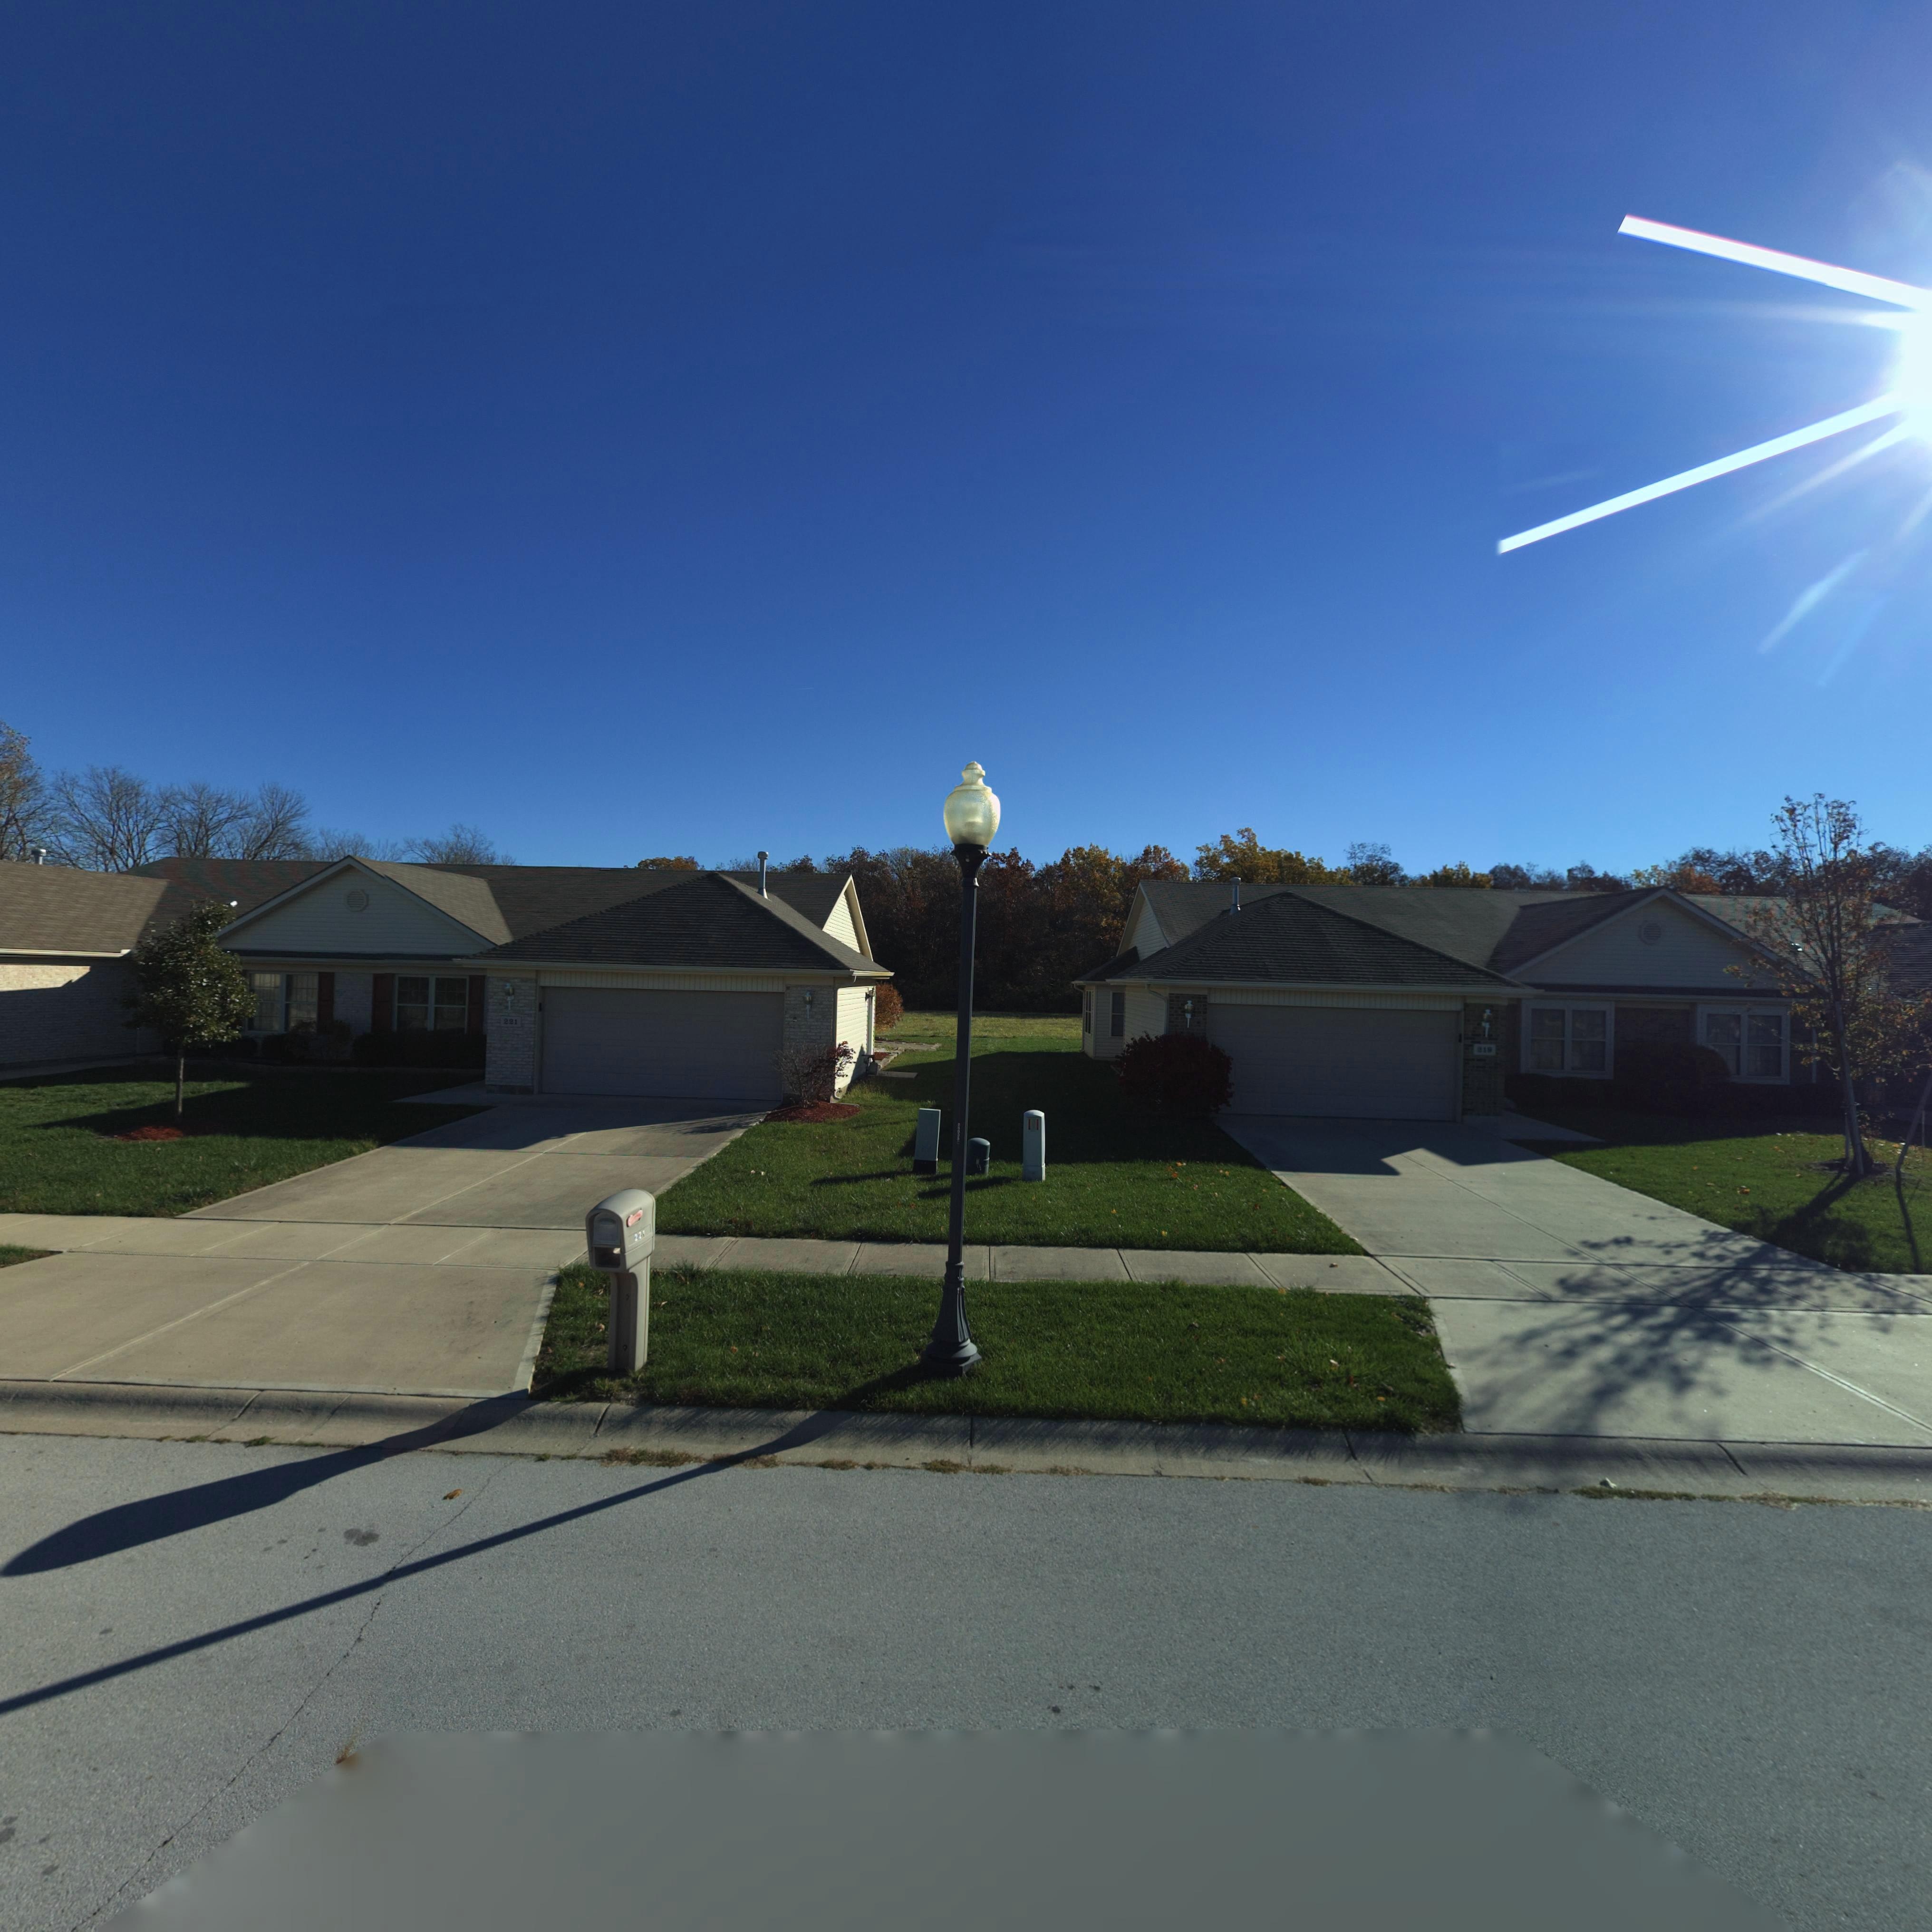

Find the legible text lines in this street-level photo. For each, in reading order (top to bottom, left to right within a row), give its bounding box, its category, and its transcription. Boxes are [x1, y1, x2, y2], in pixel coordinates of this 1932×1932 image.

[502, 1016, 519, 1026] StreetNumber: 221
[1476, 1044, 1494, 1055] StreetNumber: 219